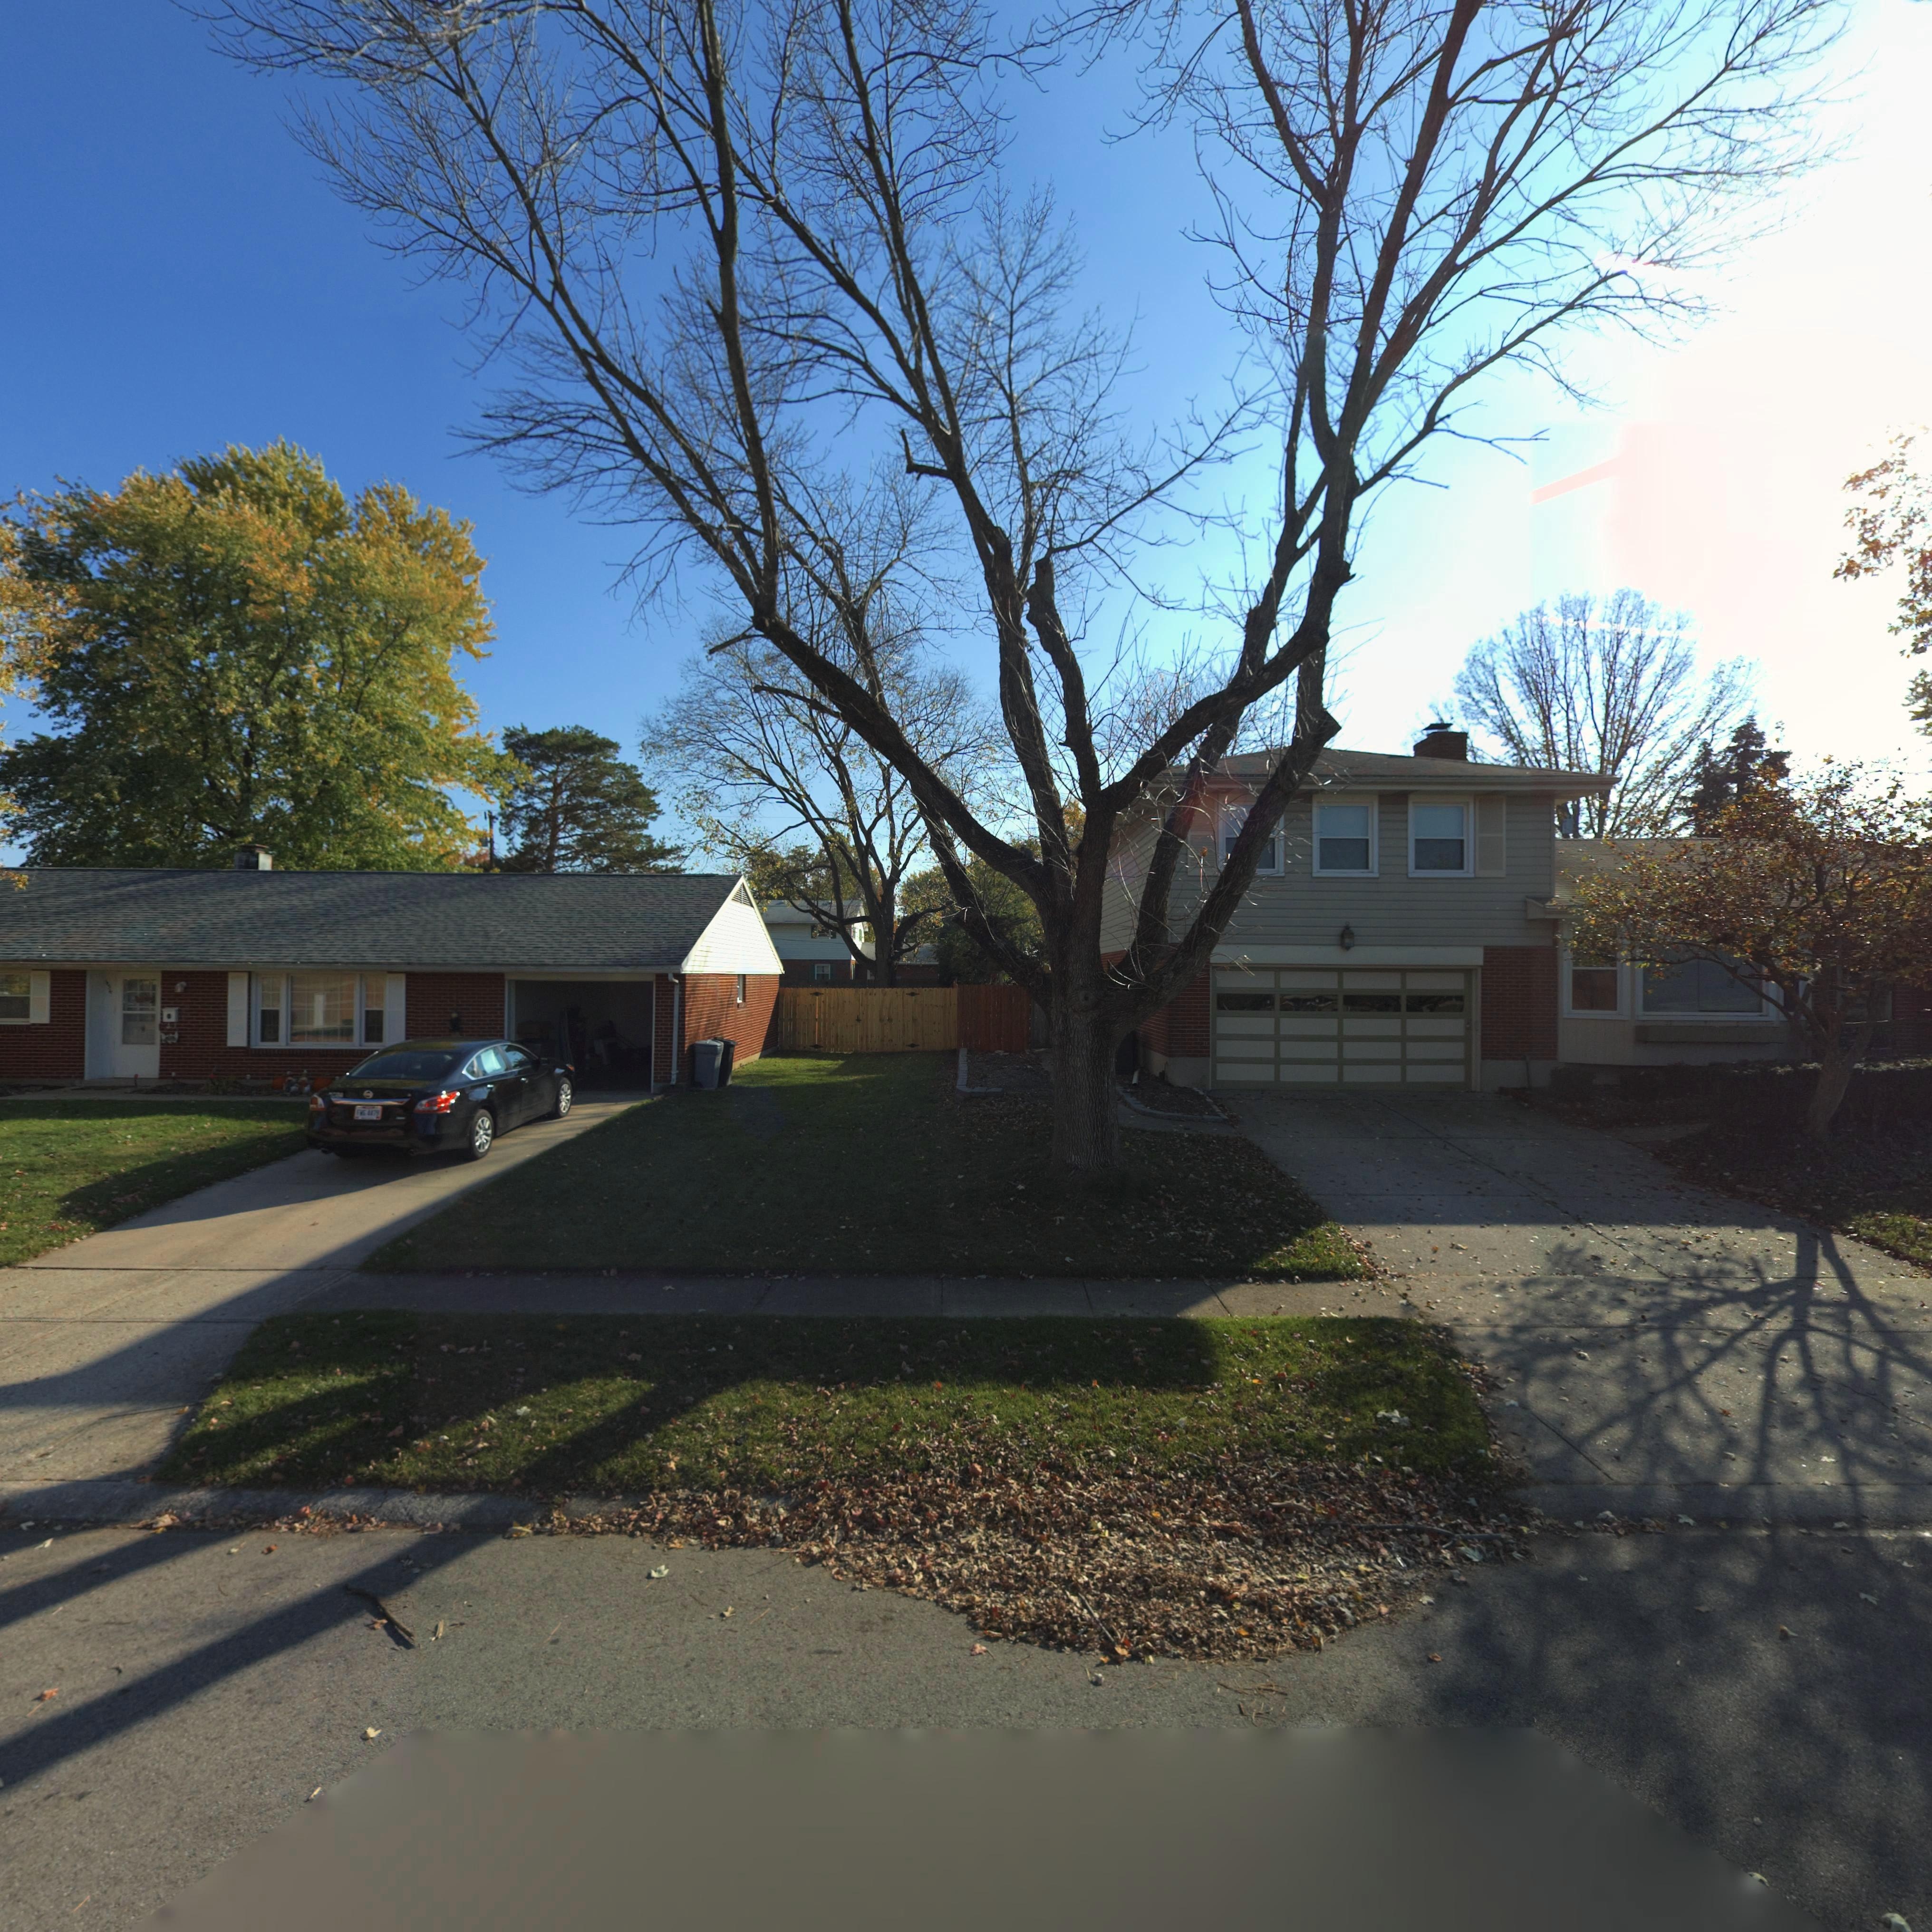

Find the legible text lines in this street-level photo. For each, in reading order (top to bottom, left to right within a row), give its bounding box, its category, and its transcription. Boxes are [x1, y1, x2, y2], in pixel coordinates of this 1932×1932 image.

[104, 978, 114, 995] StreetNumber: 634